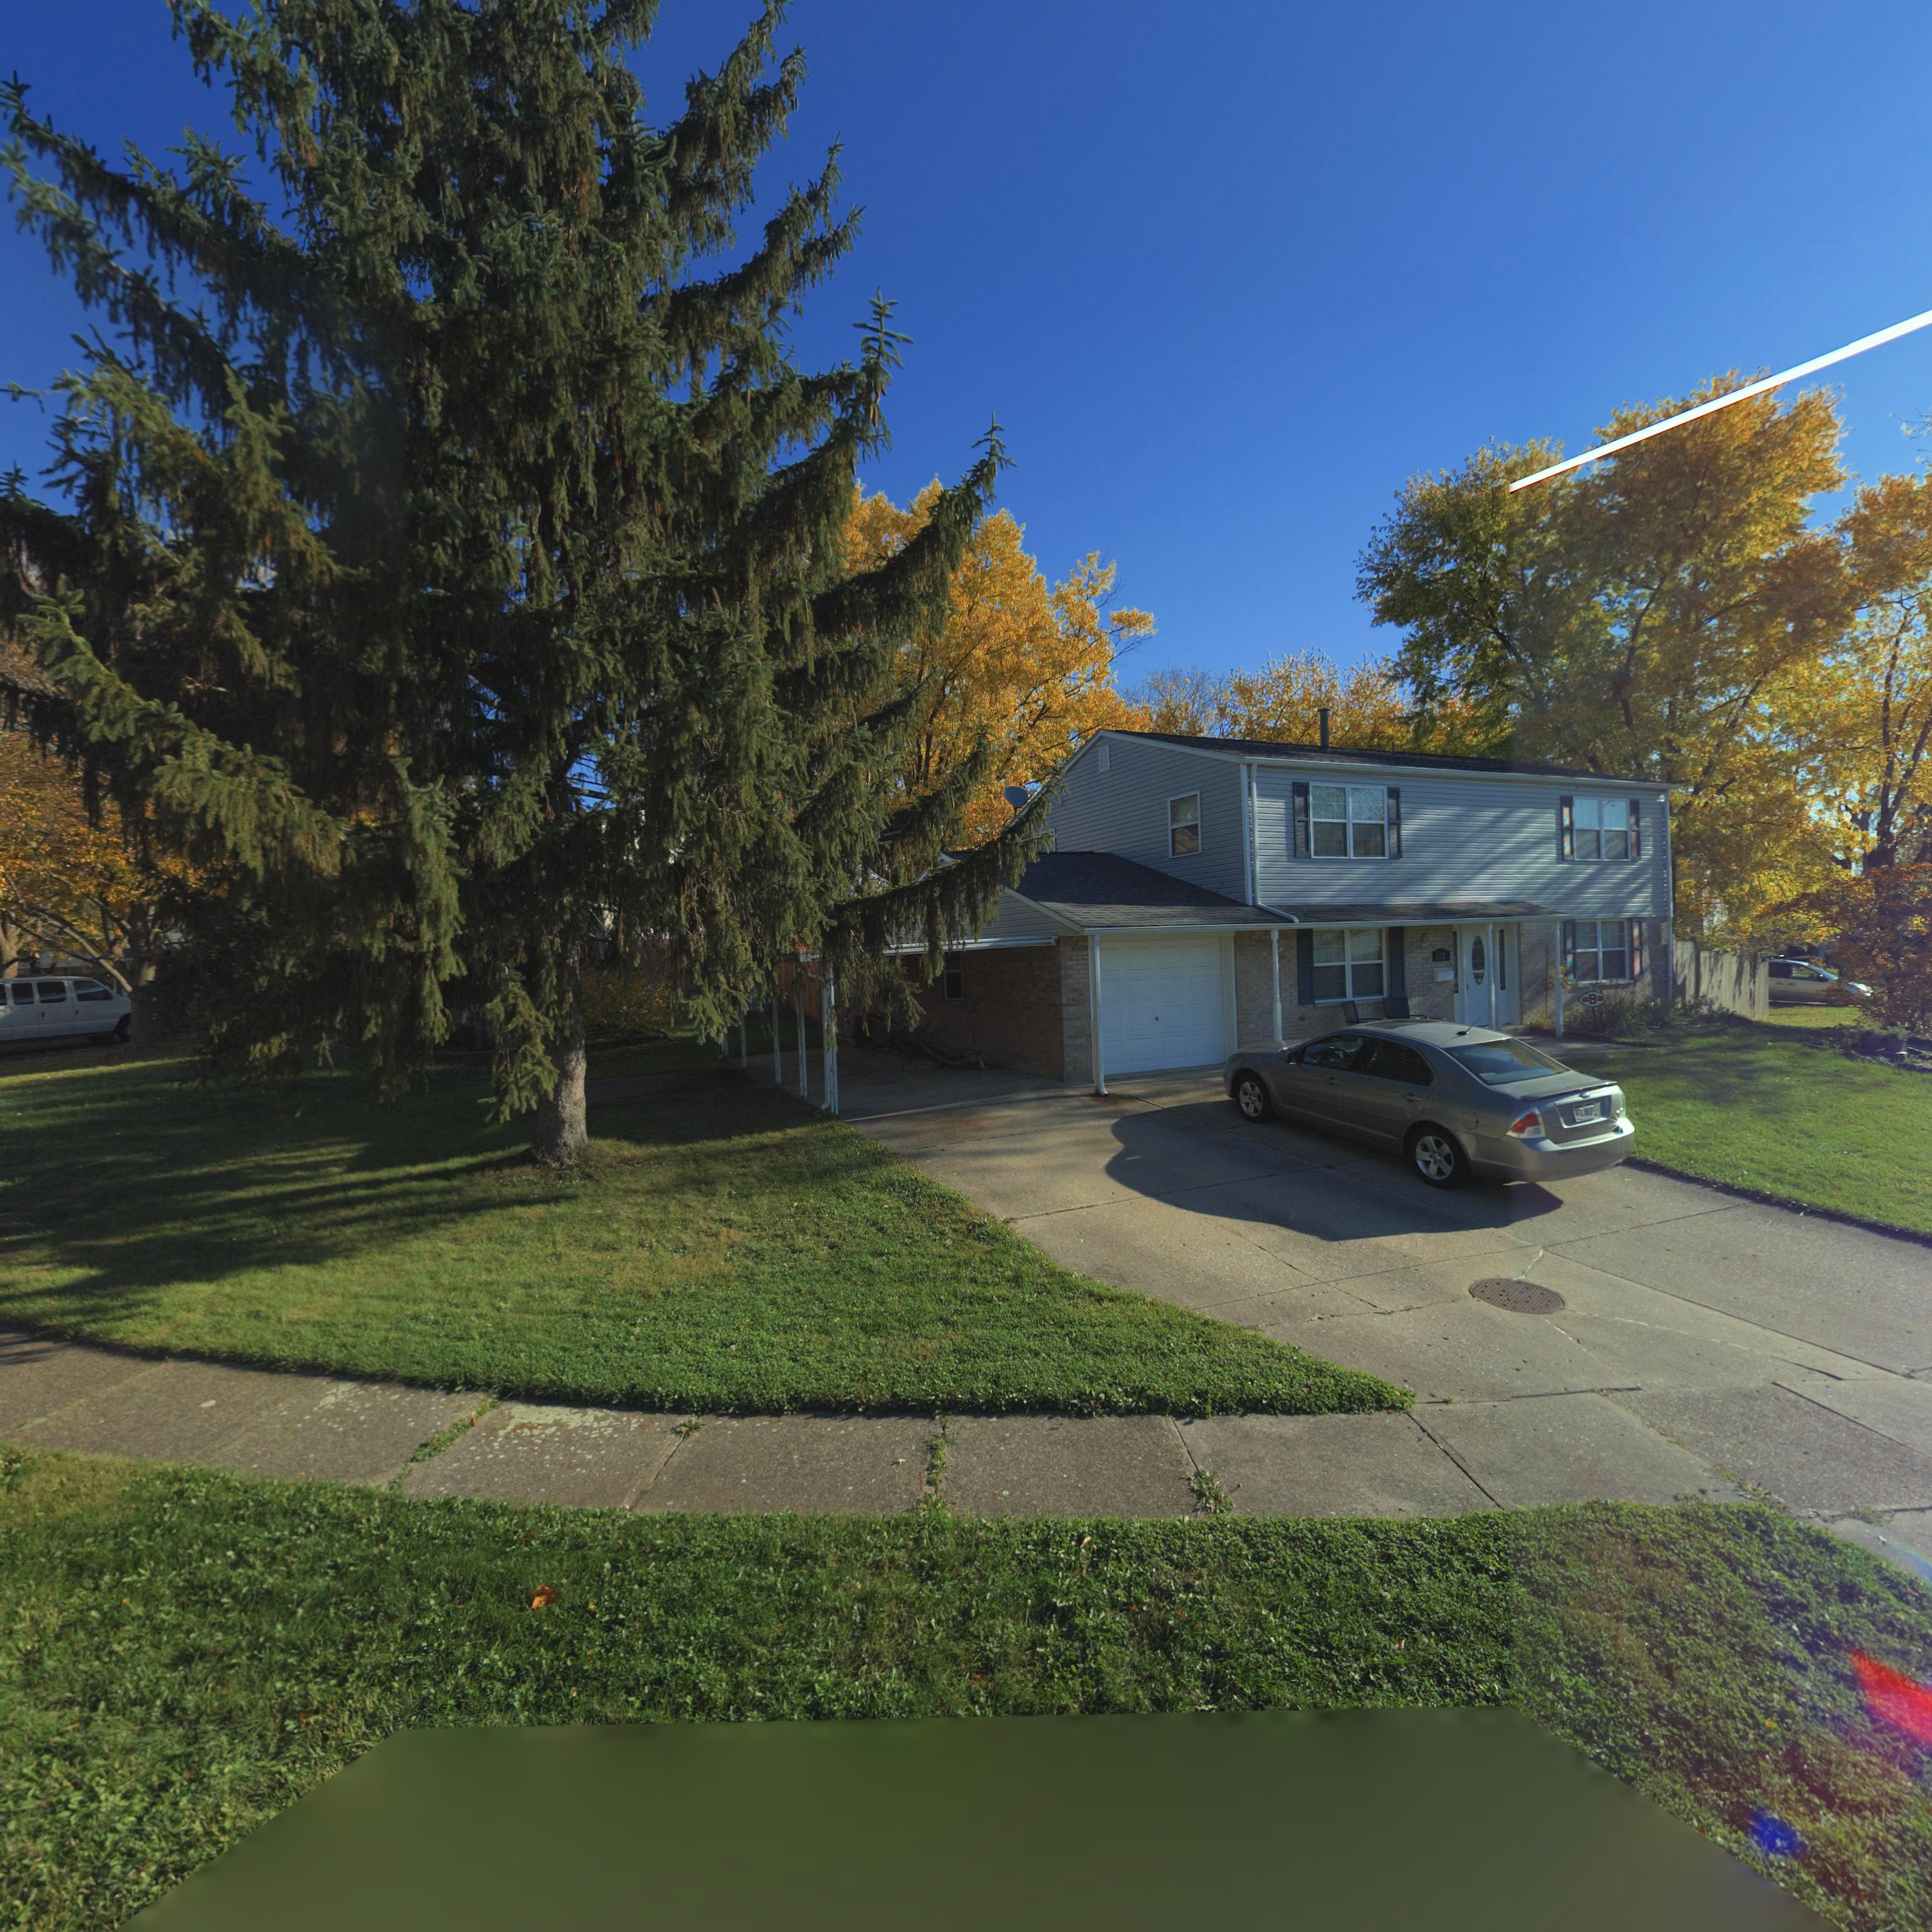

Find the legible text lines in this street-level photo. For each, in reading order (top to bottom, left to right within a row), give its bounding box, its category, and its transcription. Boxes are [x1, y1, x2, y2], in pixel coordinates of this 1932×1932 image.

[1434, 951, 1449, 962] StreetNumber: **2*